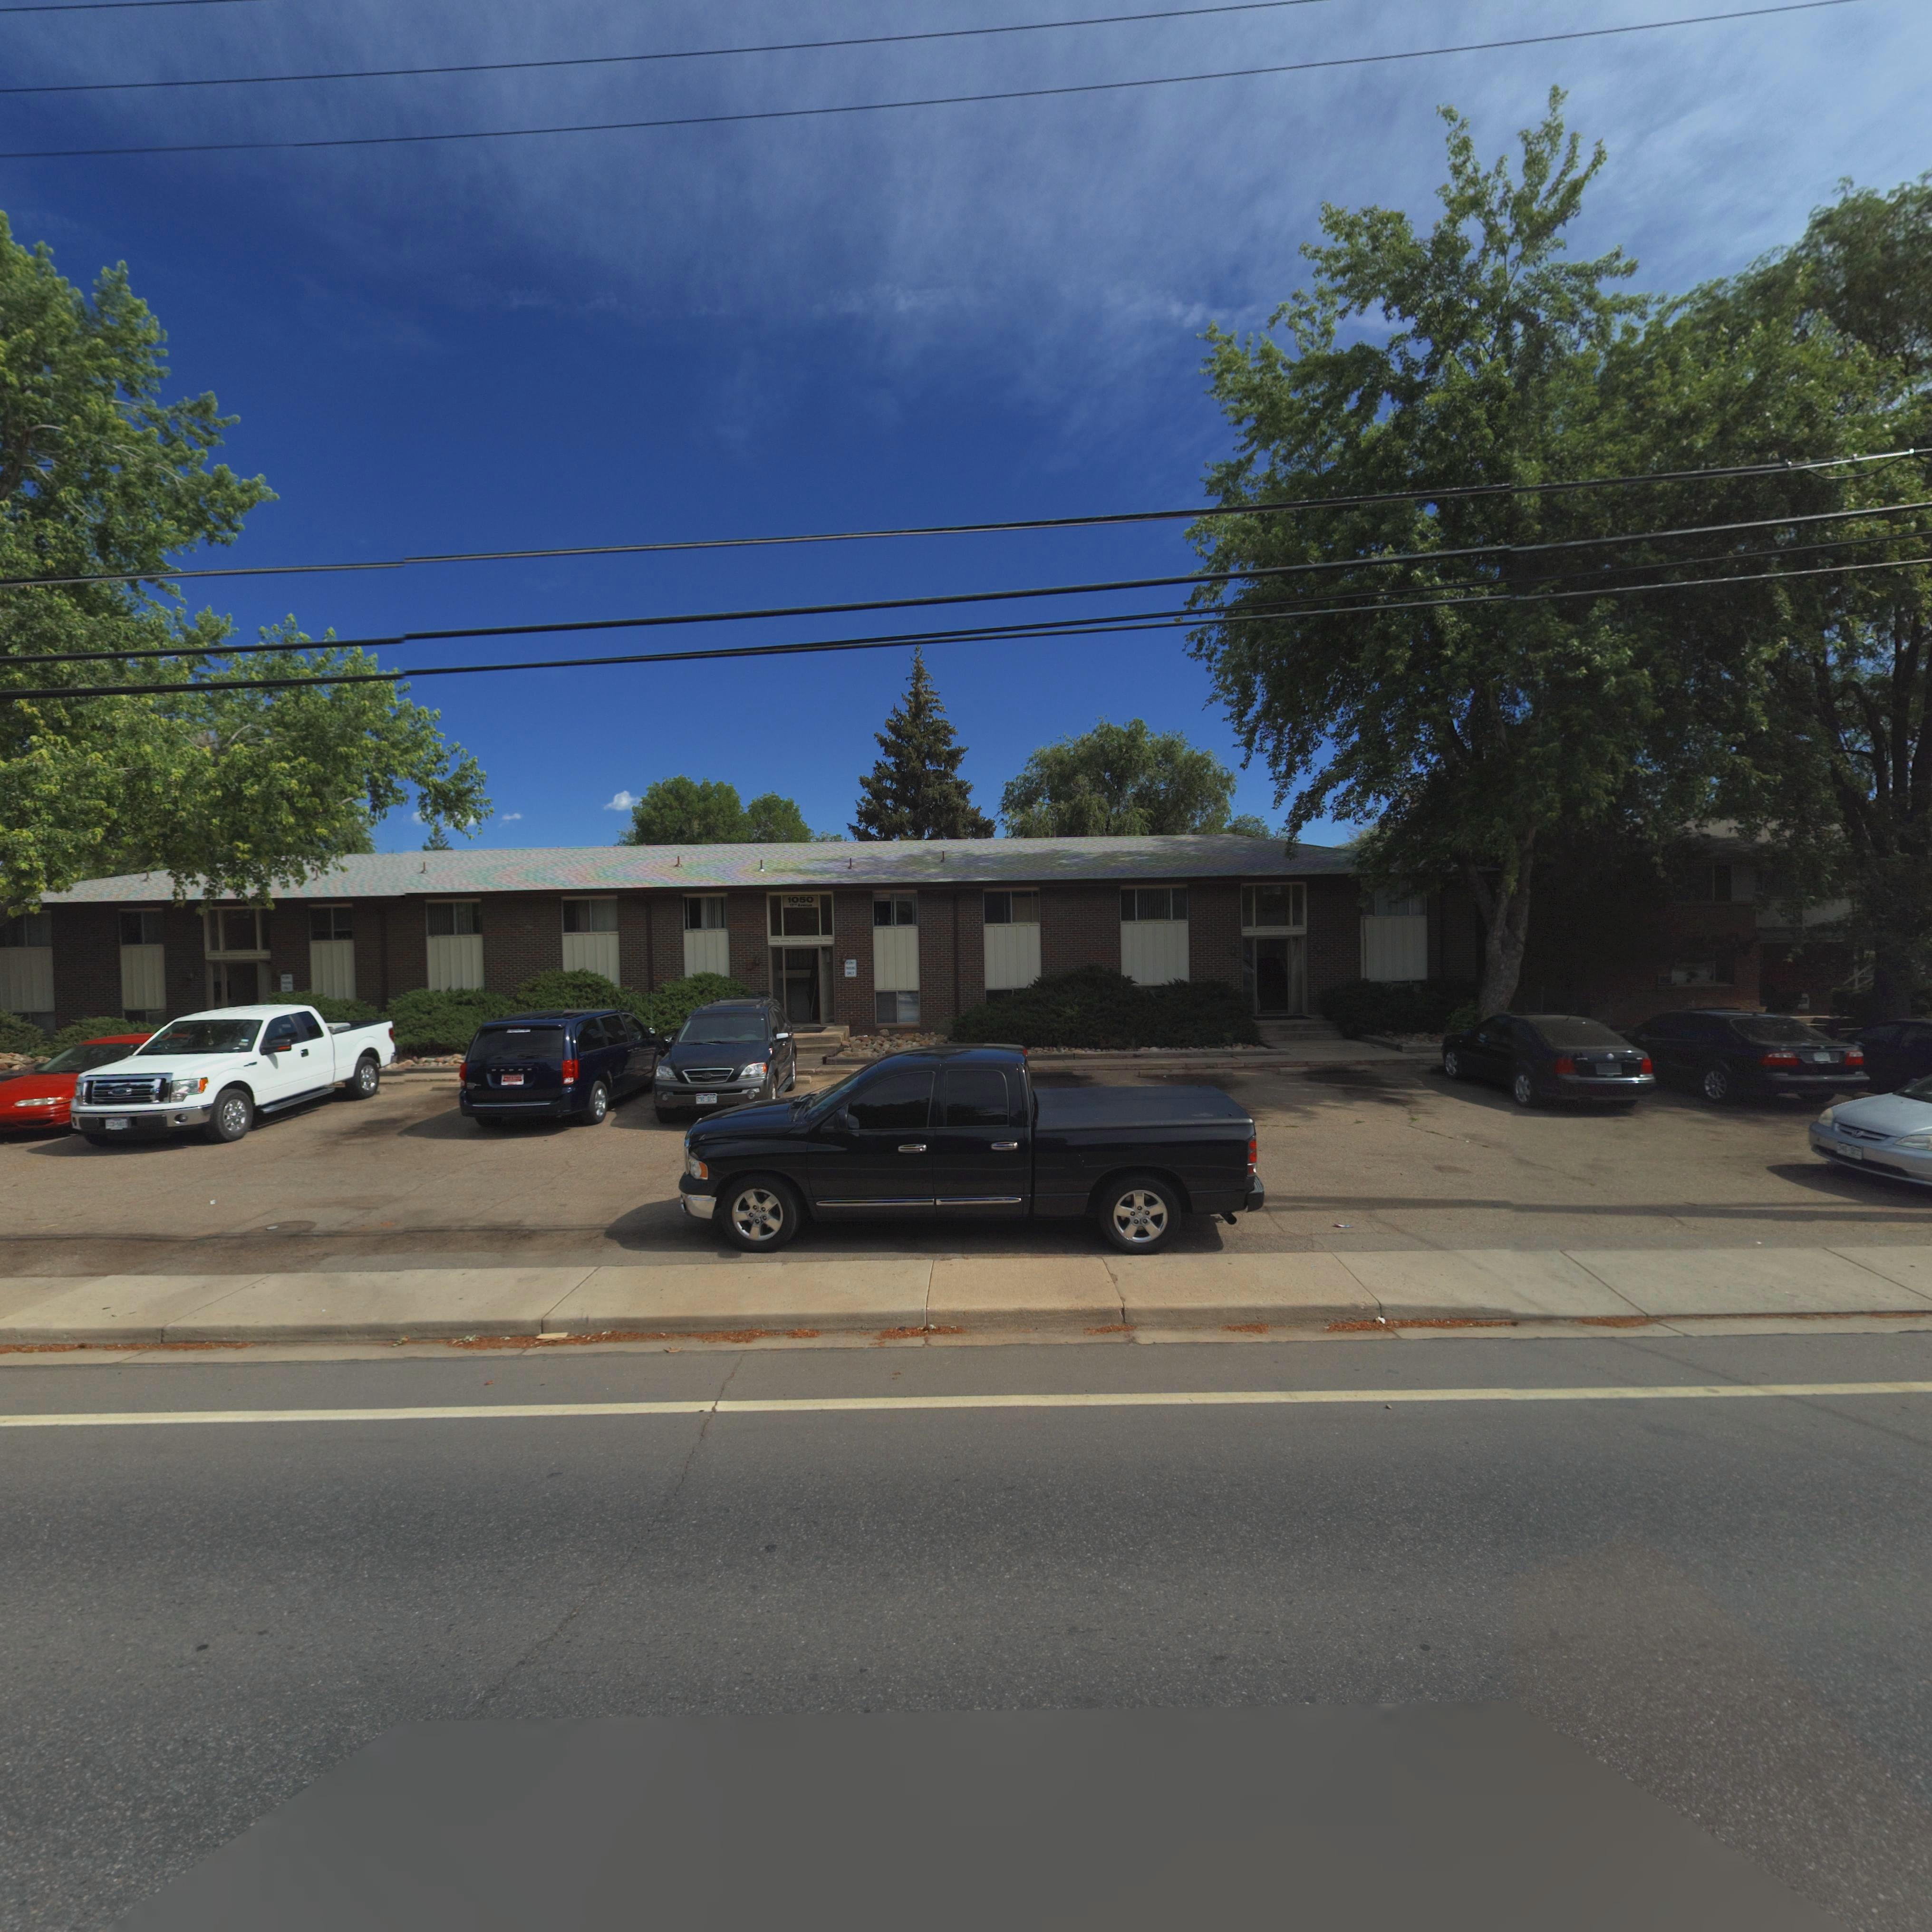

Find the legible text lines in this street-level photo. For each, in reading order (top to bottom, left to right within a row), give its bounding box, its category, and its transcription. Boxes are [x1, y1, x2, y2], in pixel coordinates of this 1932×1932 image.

[787, 896, 813, 903] StreetNumber: 1050
[789, 903, 812, 907] StreetName: 1*** A*****